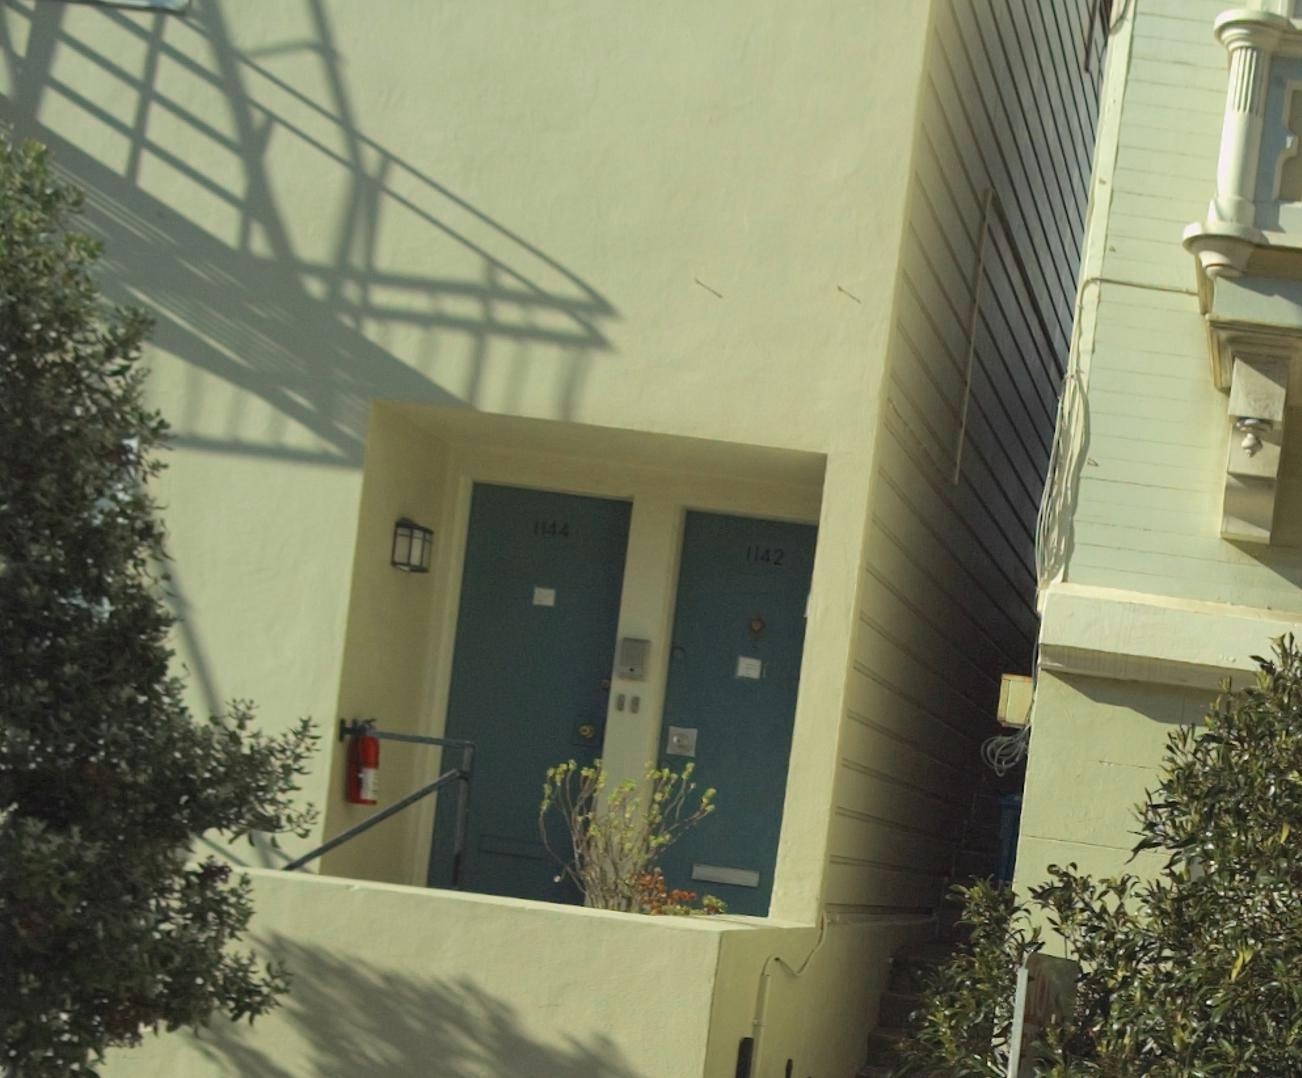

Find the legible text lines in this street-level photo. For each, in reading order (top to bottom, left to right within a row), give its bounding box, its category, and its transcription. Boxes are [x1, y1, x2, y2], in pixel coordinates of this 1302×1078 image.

[531, 519, 571, 539] StreetNumber: 1144
[743, 544, 787, 567] StreetNumber: 1142